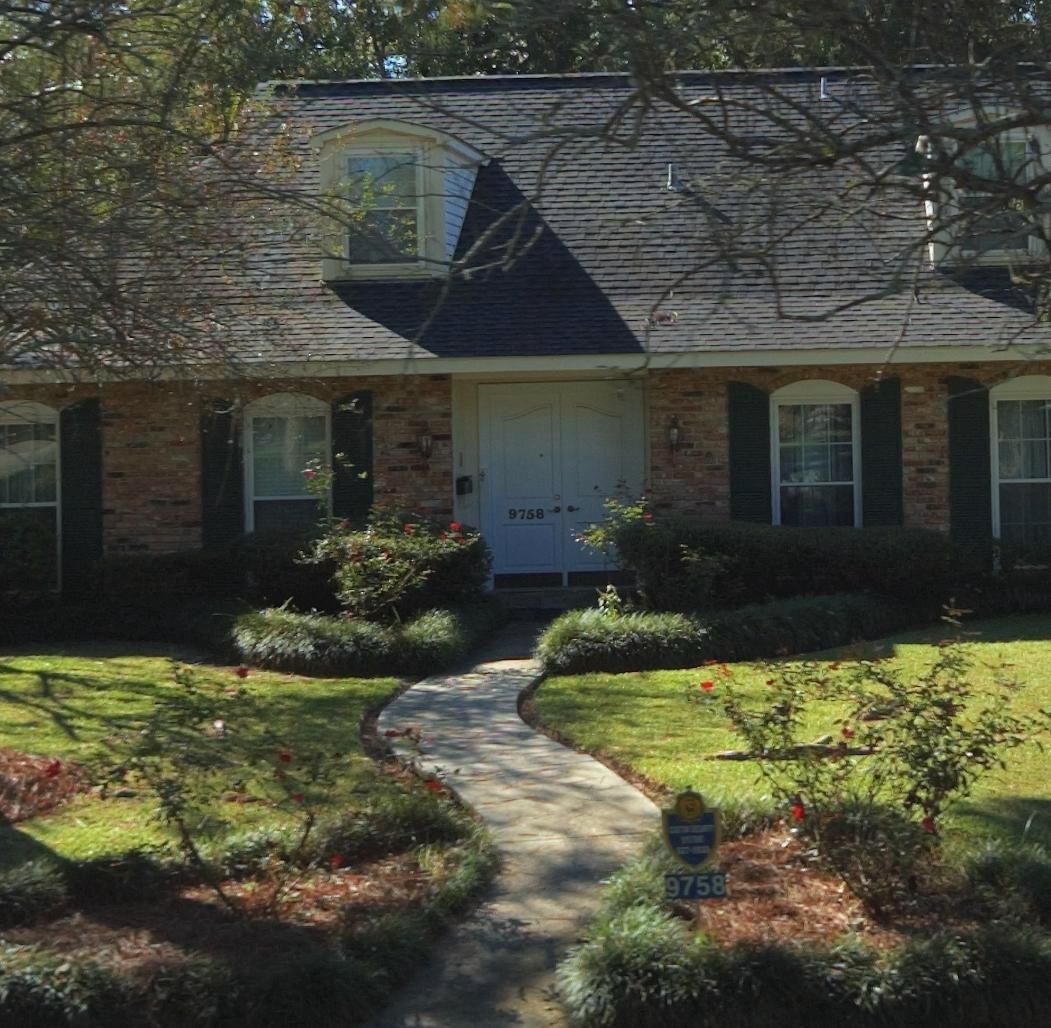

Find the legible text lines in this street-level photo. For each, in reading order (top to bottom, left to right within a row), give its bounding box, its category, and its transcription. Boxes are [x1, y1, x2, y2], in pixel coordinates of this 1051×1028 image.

[506, 506, 547, 522] StreetNumber: 9758